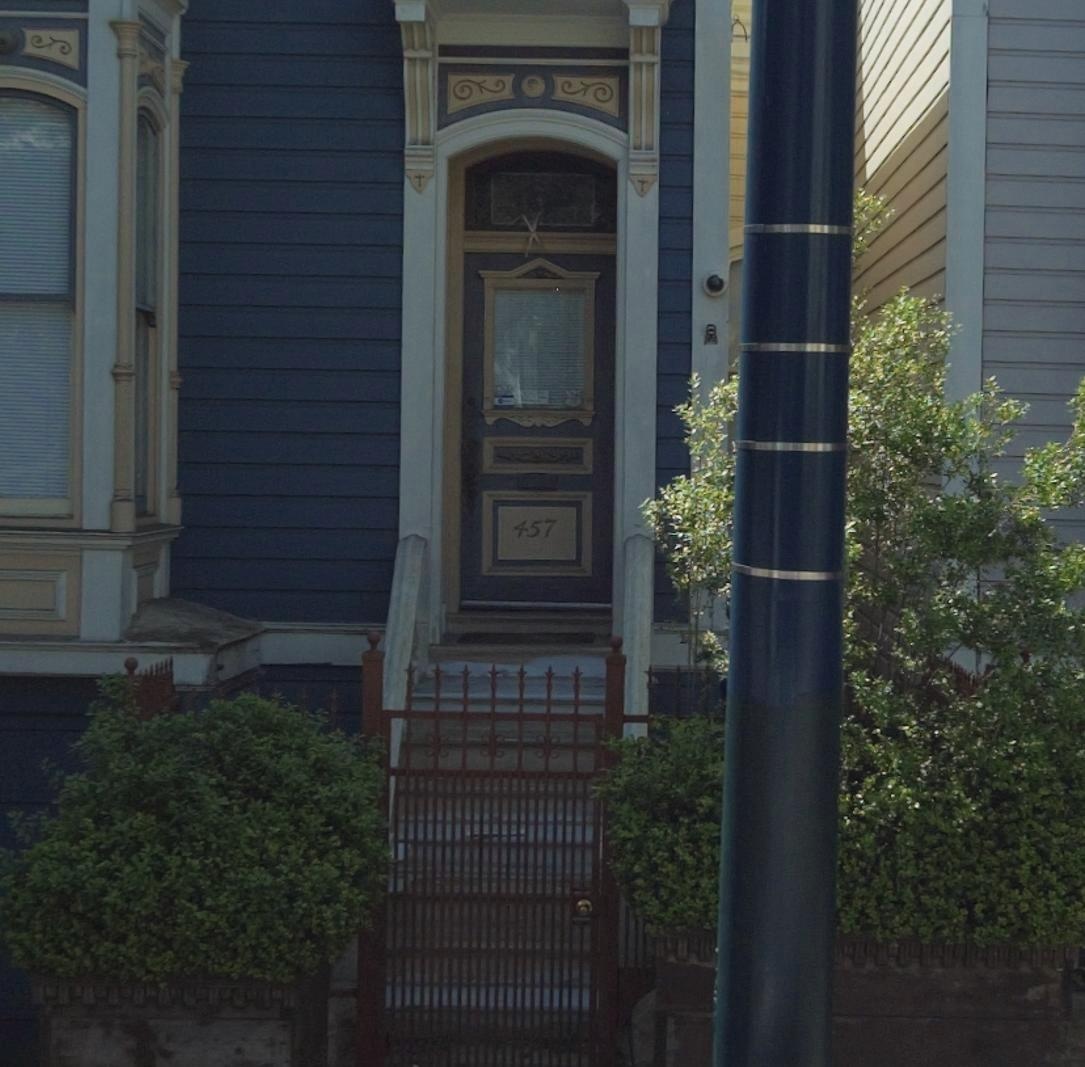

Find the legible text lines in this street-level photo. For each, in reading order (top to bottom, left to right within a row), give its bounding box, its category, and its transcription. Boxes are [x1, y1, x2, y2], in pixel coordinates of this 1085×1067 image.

[512, 518, 559, 539] StreetNumber: 457